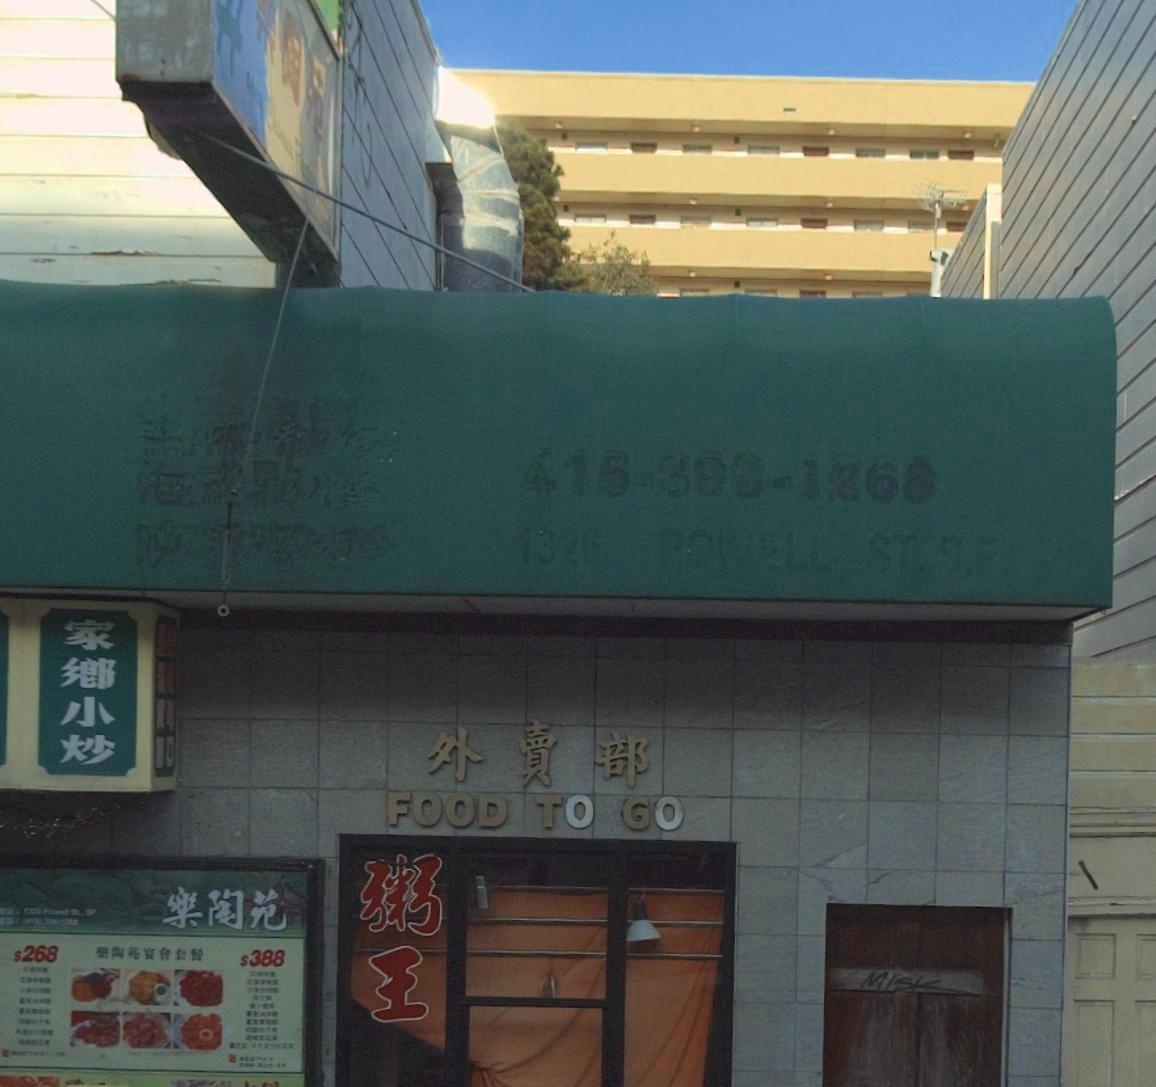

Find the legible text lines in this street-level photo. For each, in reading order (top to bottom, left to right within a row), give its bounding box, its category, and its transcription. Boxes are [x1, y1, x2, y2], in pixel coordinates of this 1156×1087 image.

[518, 441, 936, 507] None: 415-398-1268
[513, 523, 605, 568] StreetNumber: 1326
[653, 523, 928, 581] StreetName: POWELL ST.
[386, 788, 684, 834] None: FOOD TO GO
[10, 941, 59, 963] None: $268
[237, 945, 287, 968] None: $388
[859, 967, 945, 996] BusinessName: MISK